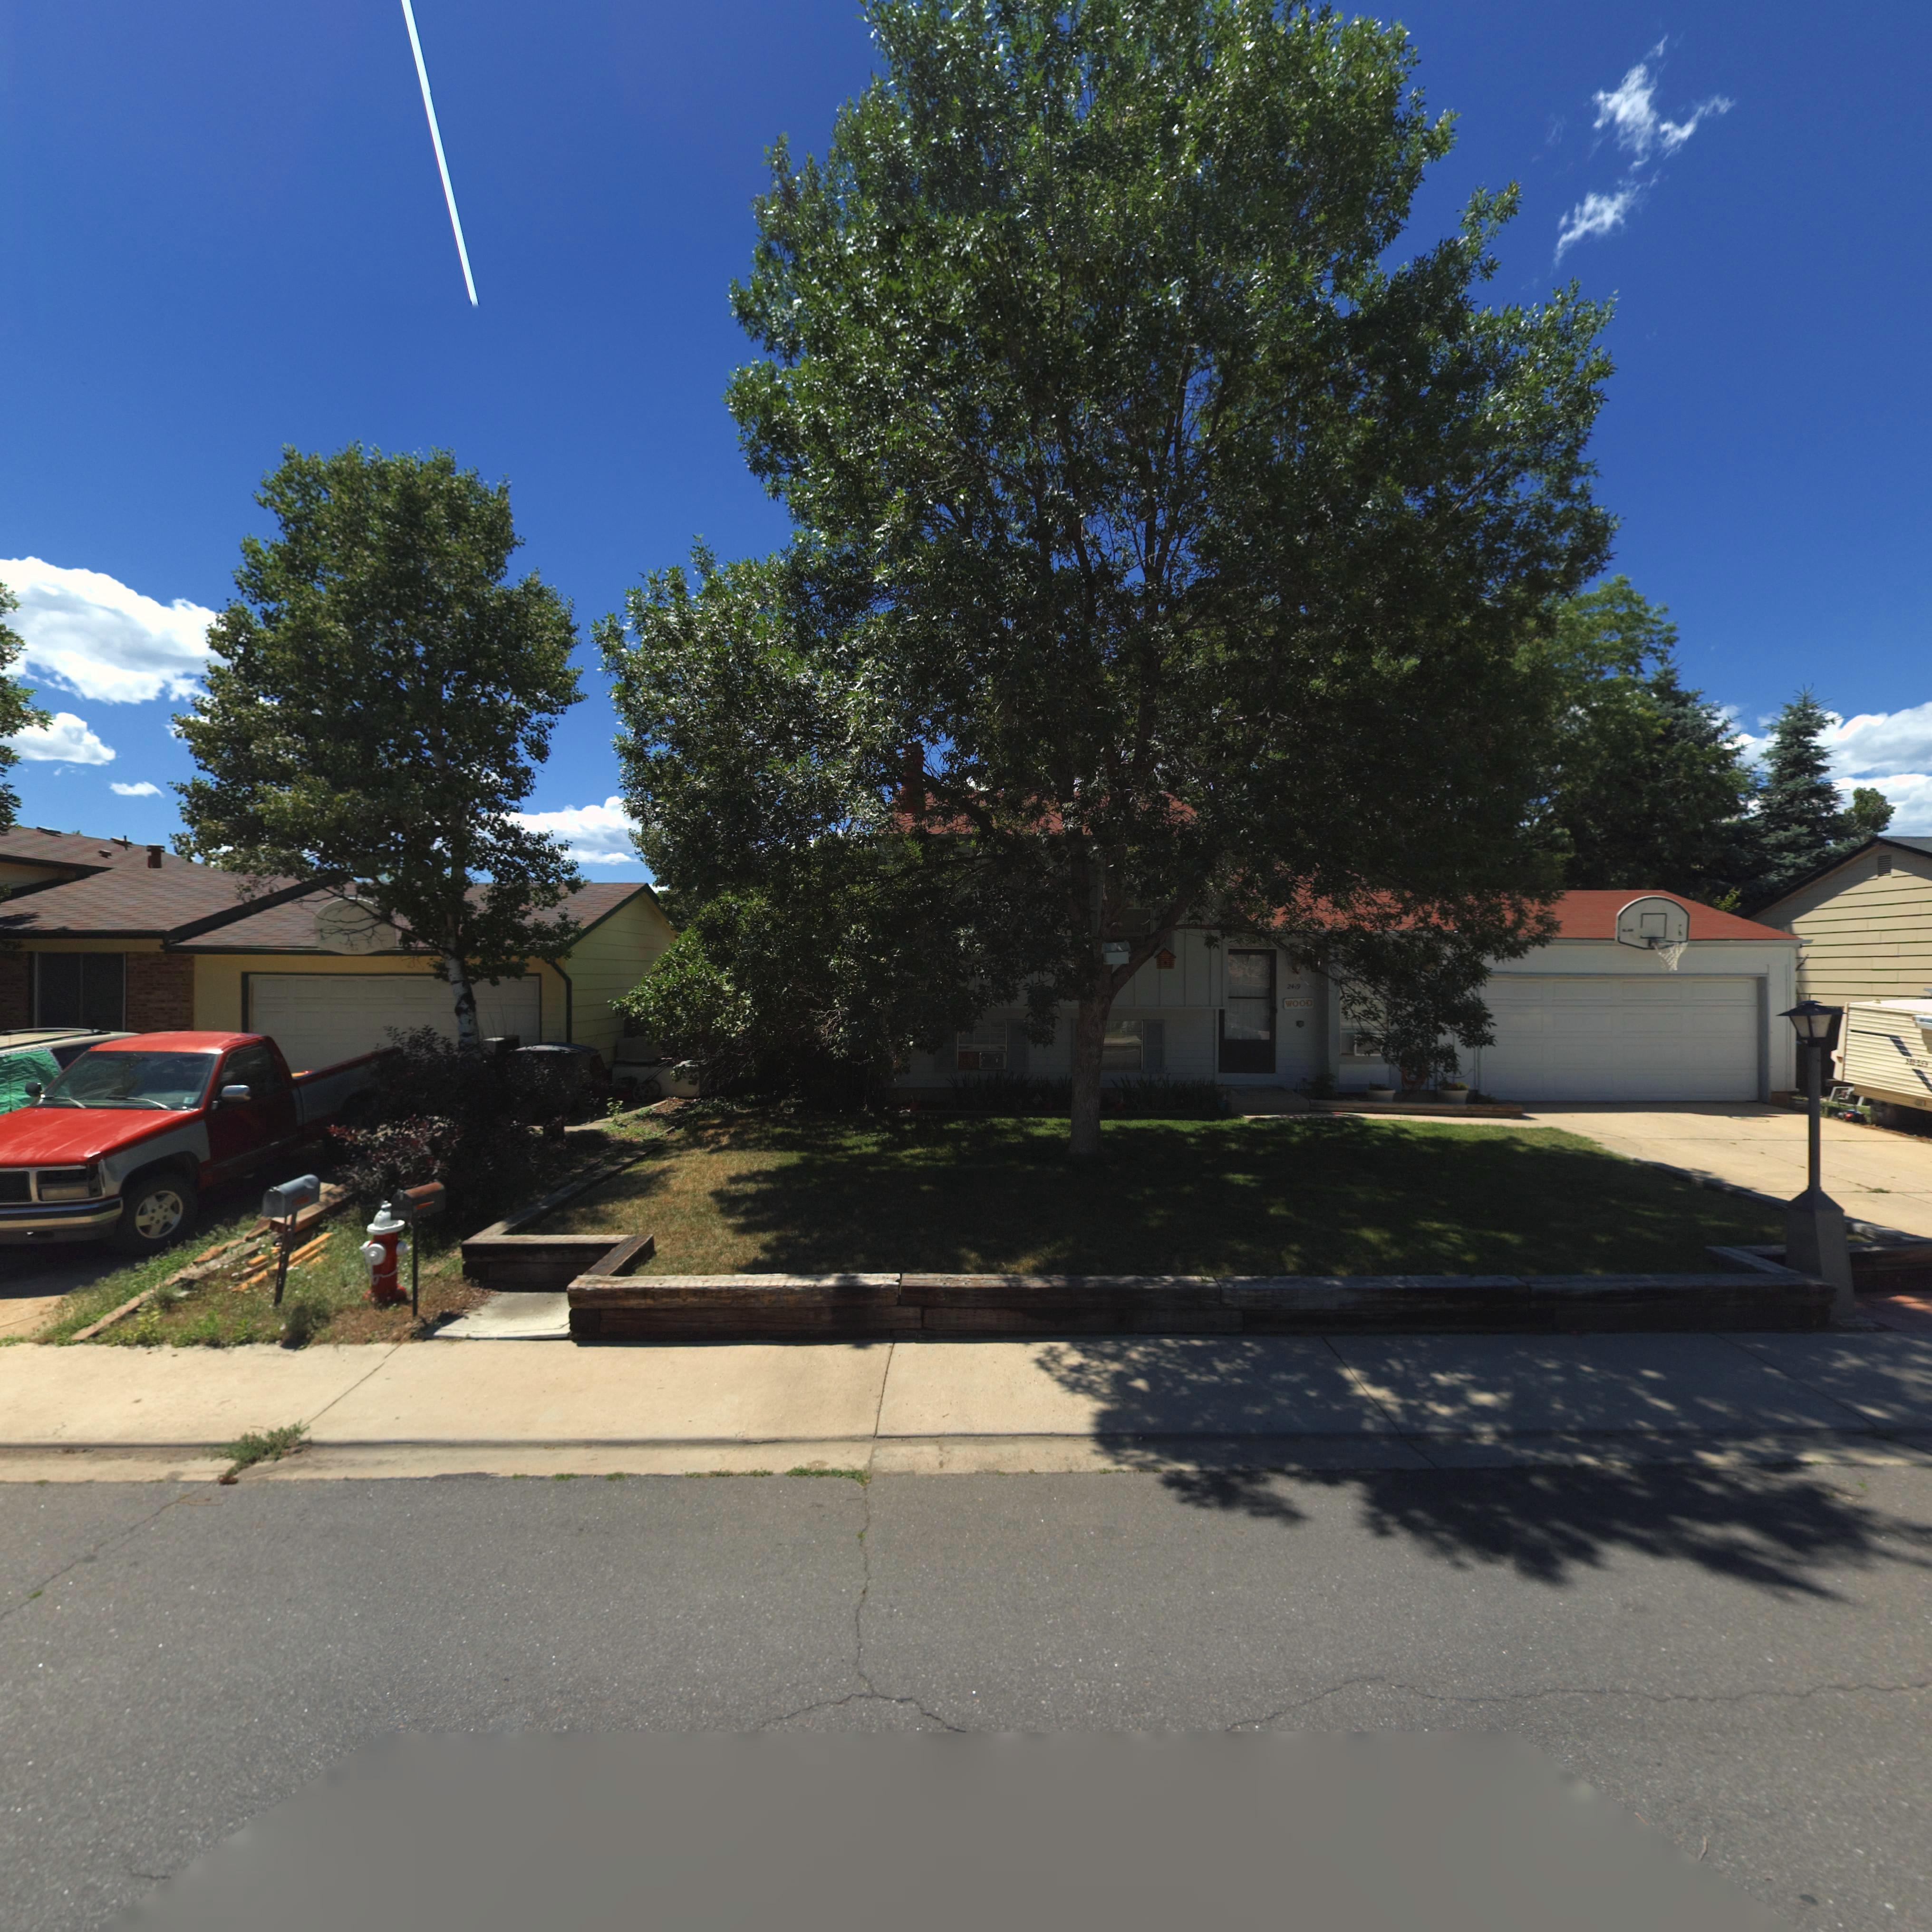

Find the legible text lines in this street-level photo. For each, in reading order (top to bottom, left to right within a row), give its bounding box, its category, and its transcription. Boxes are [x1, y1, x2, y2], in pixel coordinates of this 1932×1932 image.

[1286, 984, 1301, 989] StreetNumber: 24*9